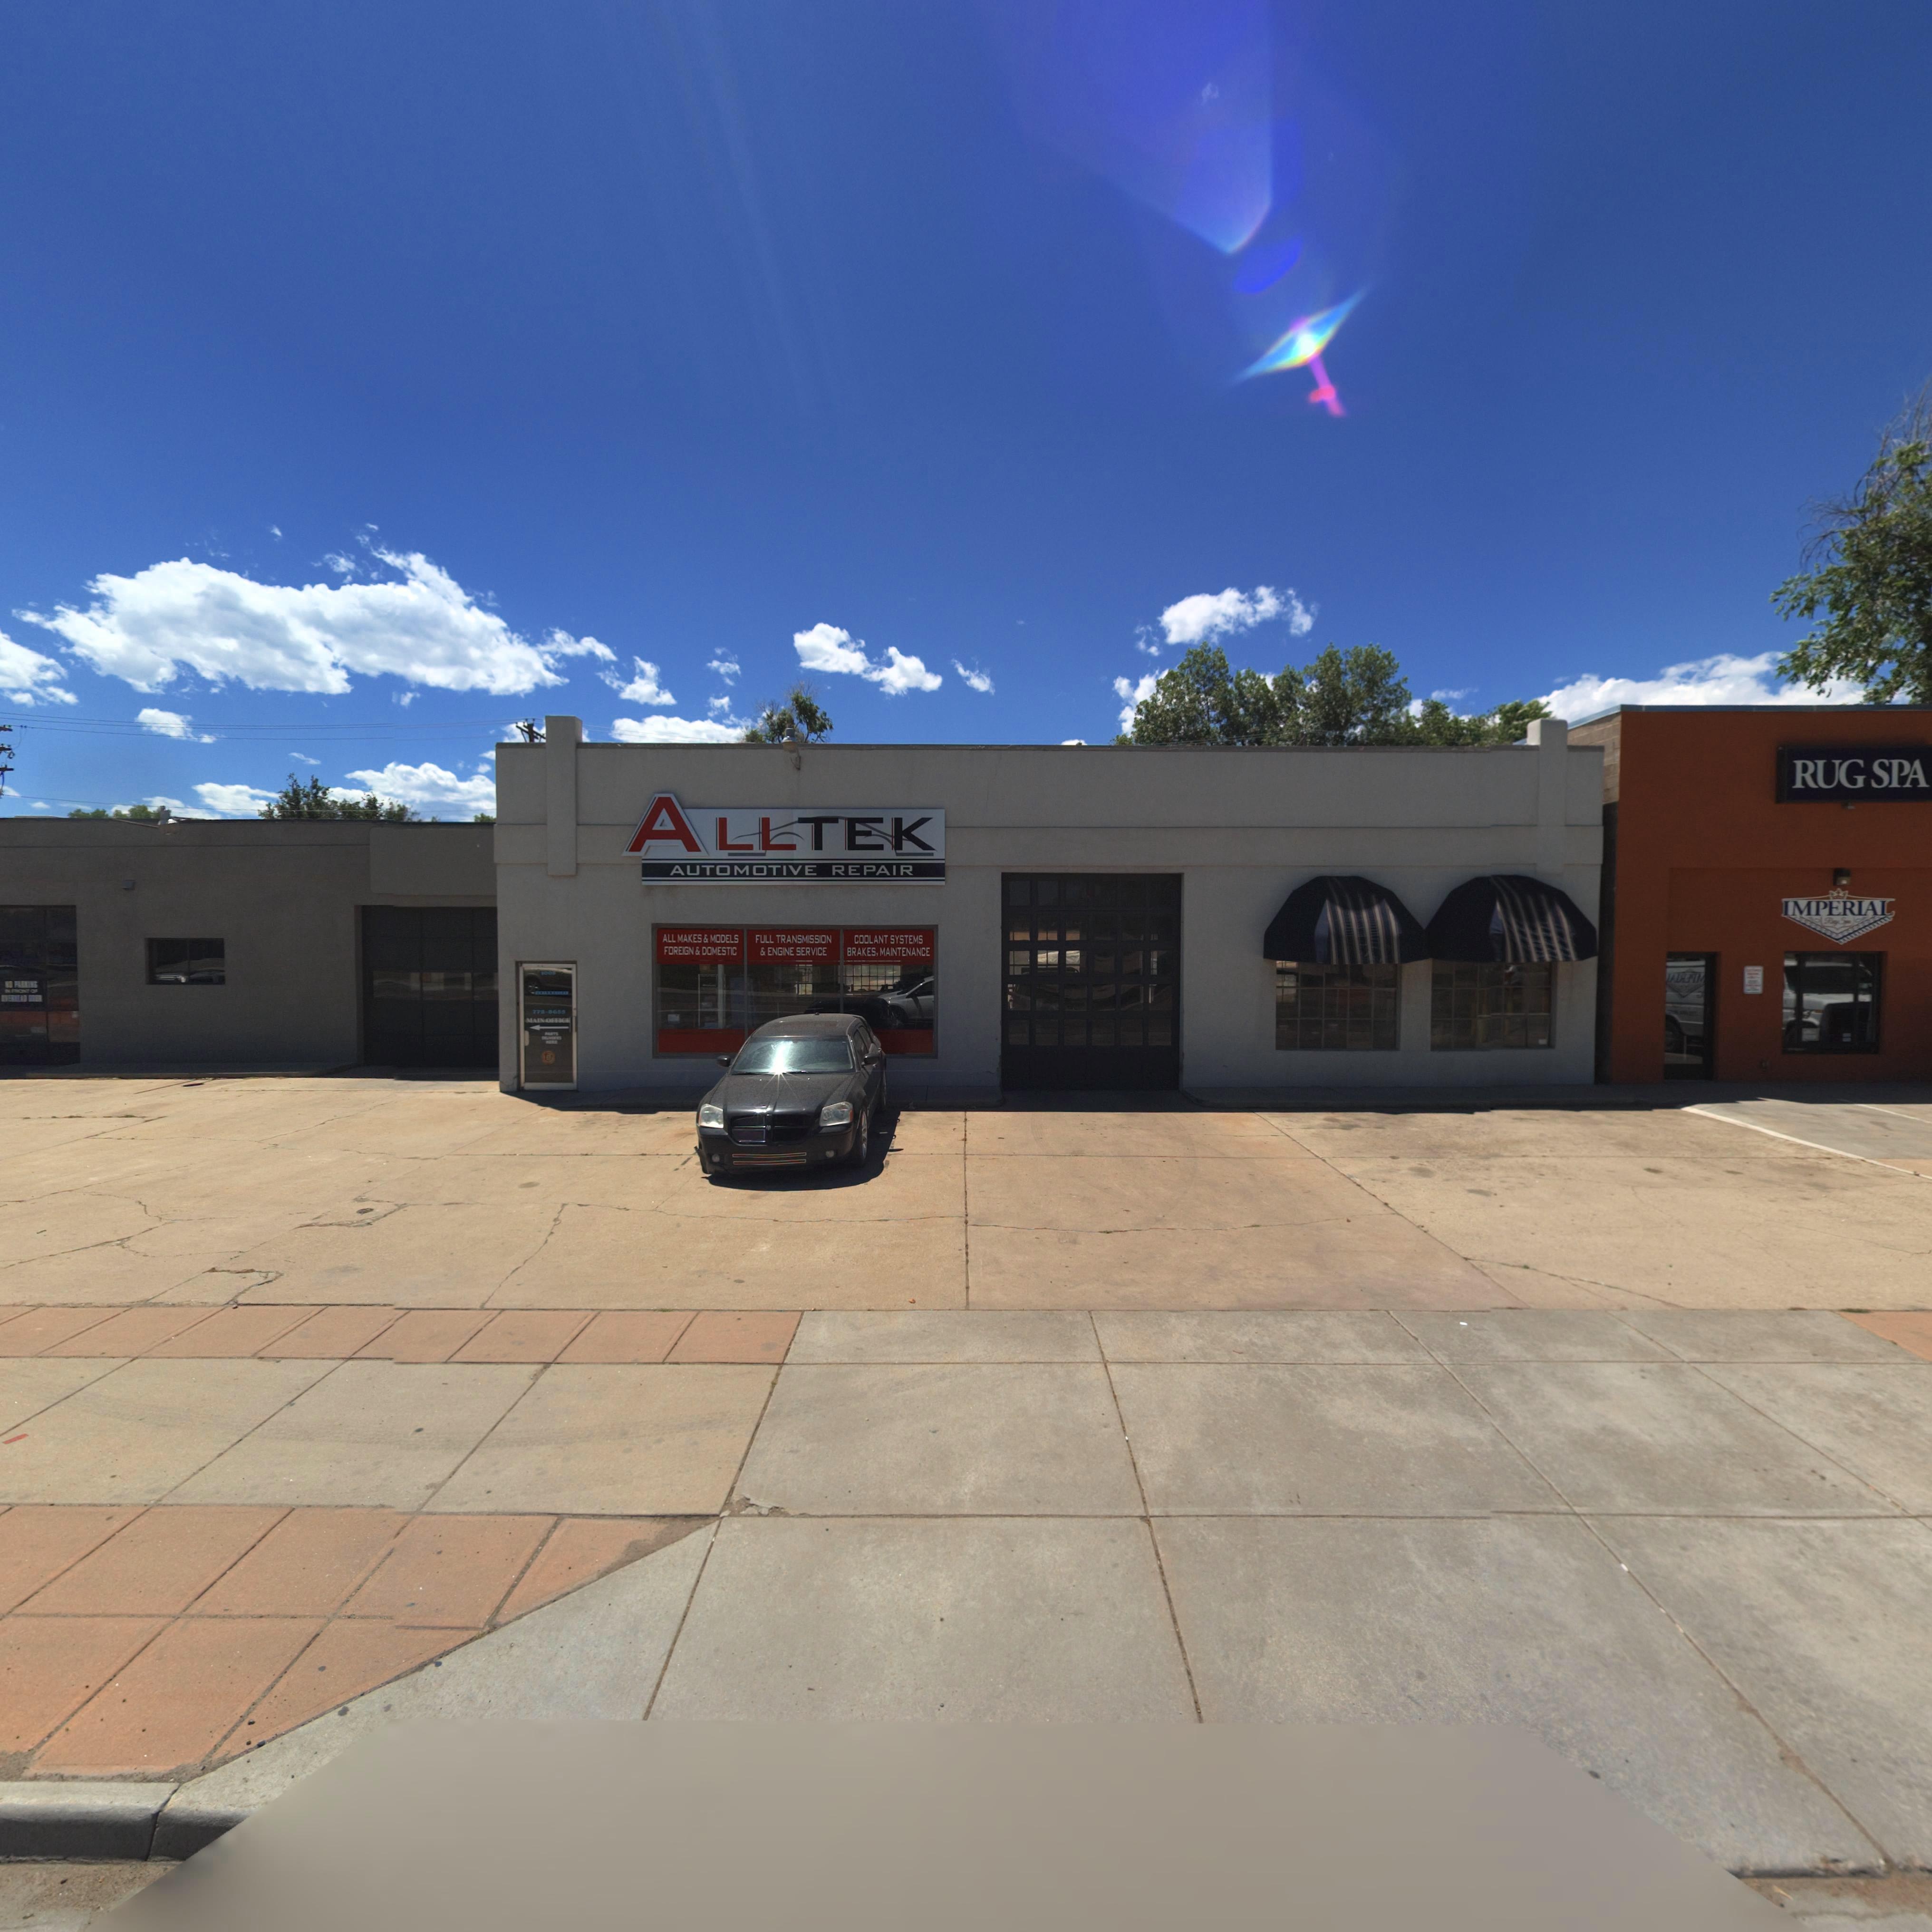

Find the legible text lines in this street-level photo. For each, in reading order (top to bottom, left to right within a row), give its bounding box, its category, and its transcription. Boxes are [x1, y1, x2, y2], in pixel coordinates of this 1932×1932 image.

[1791, 758, 1929, 788] BusinessName: RUG SPA
[620, 792, 938, 857] BusinessName: ALLTEK
[669, 864, 913, 876] BusinessName: AUTOMOTIVE REPAIR
[1783, 900, 1894, 916] BusinessName: IMPERIAL
[1823, 916, 1851, 927] BusinessName: Rug Spa
[541, 971, 556, 975] StreetNumber: 100*